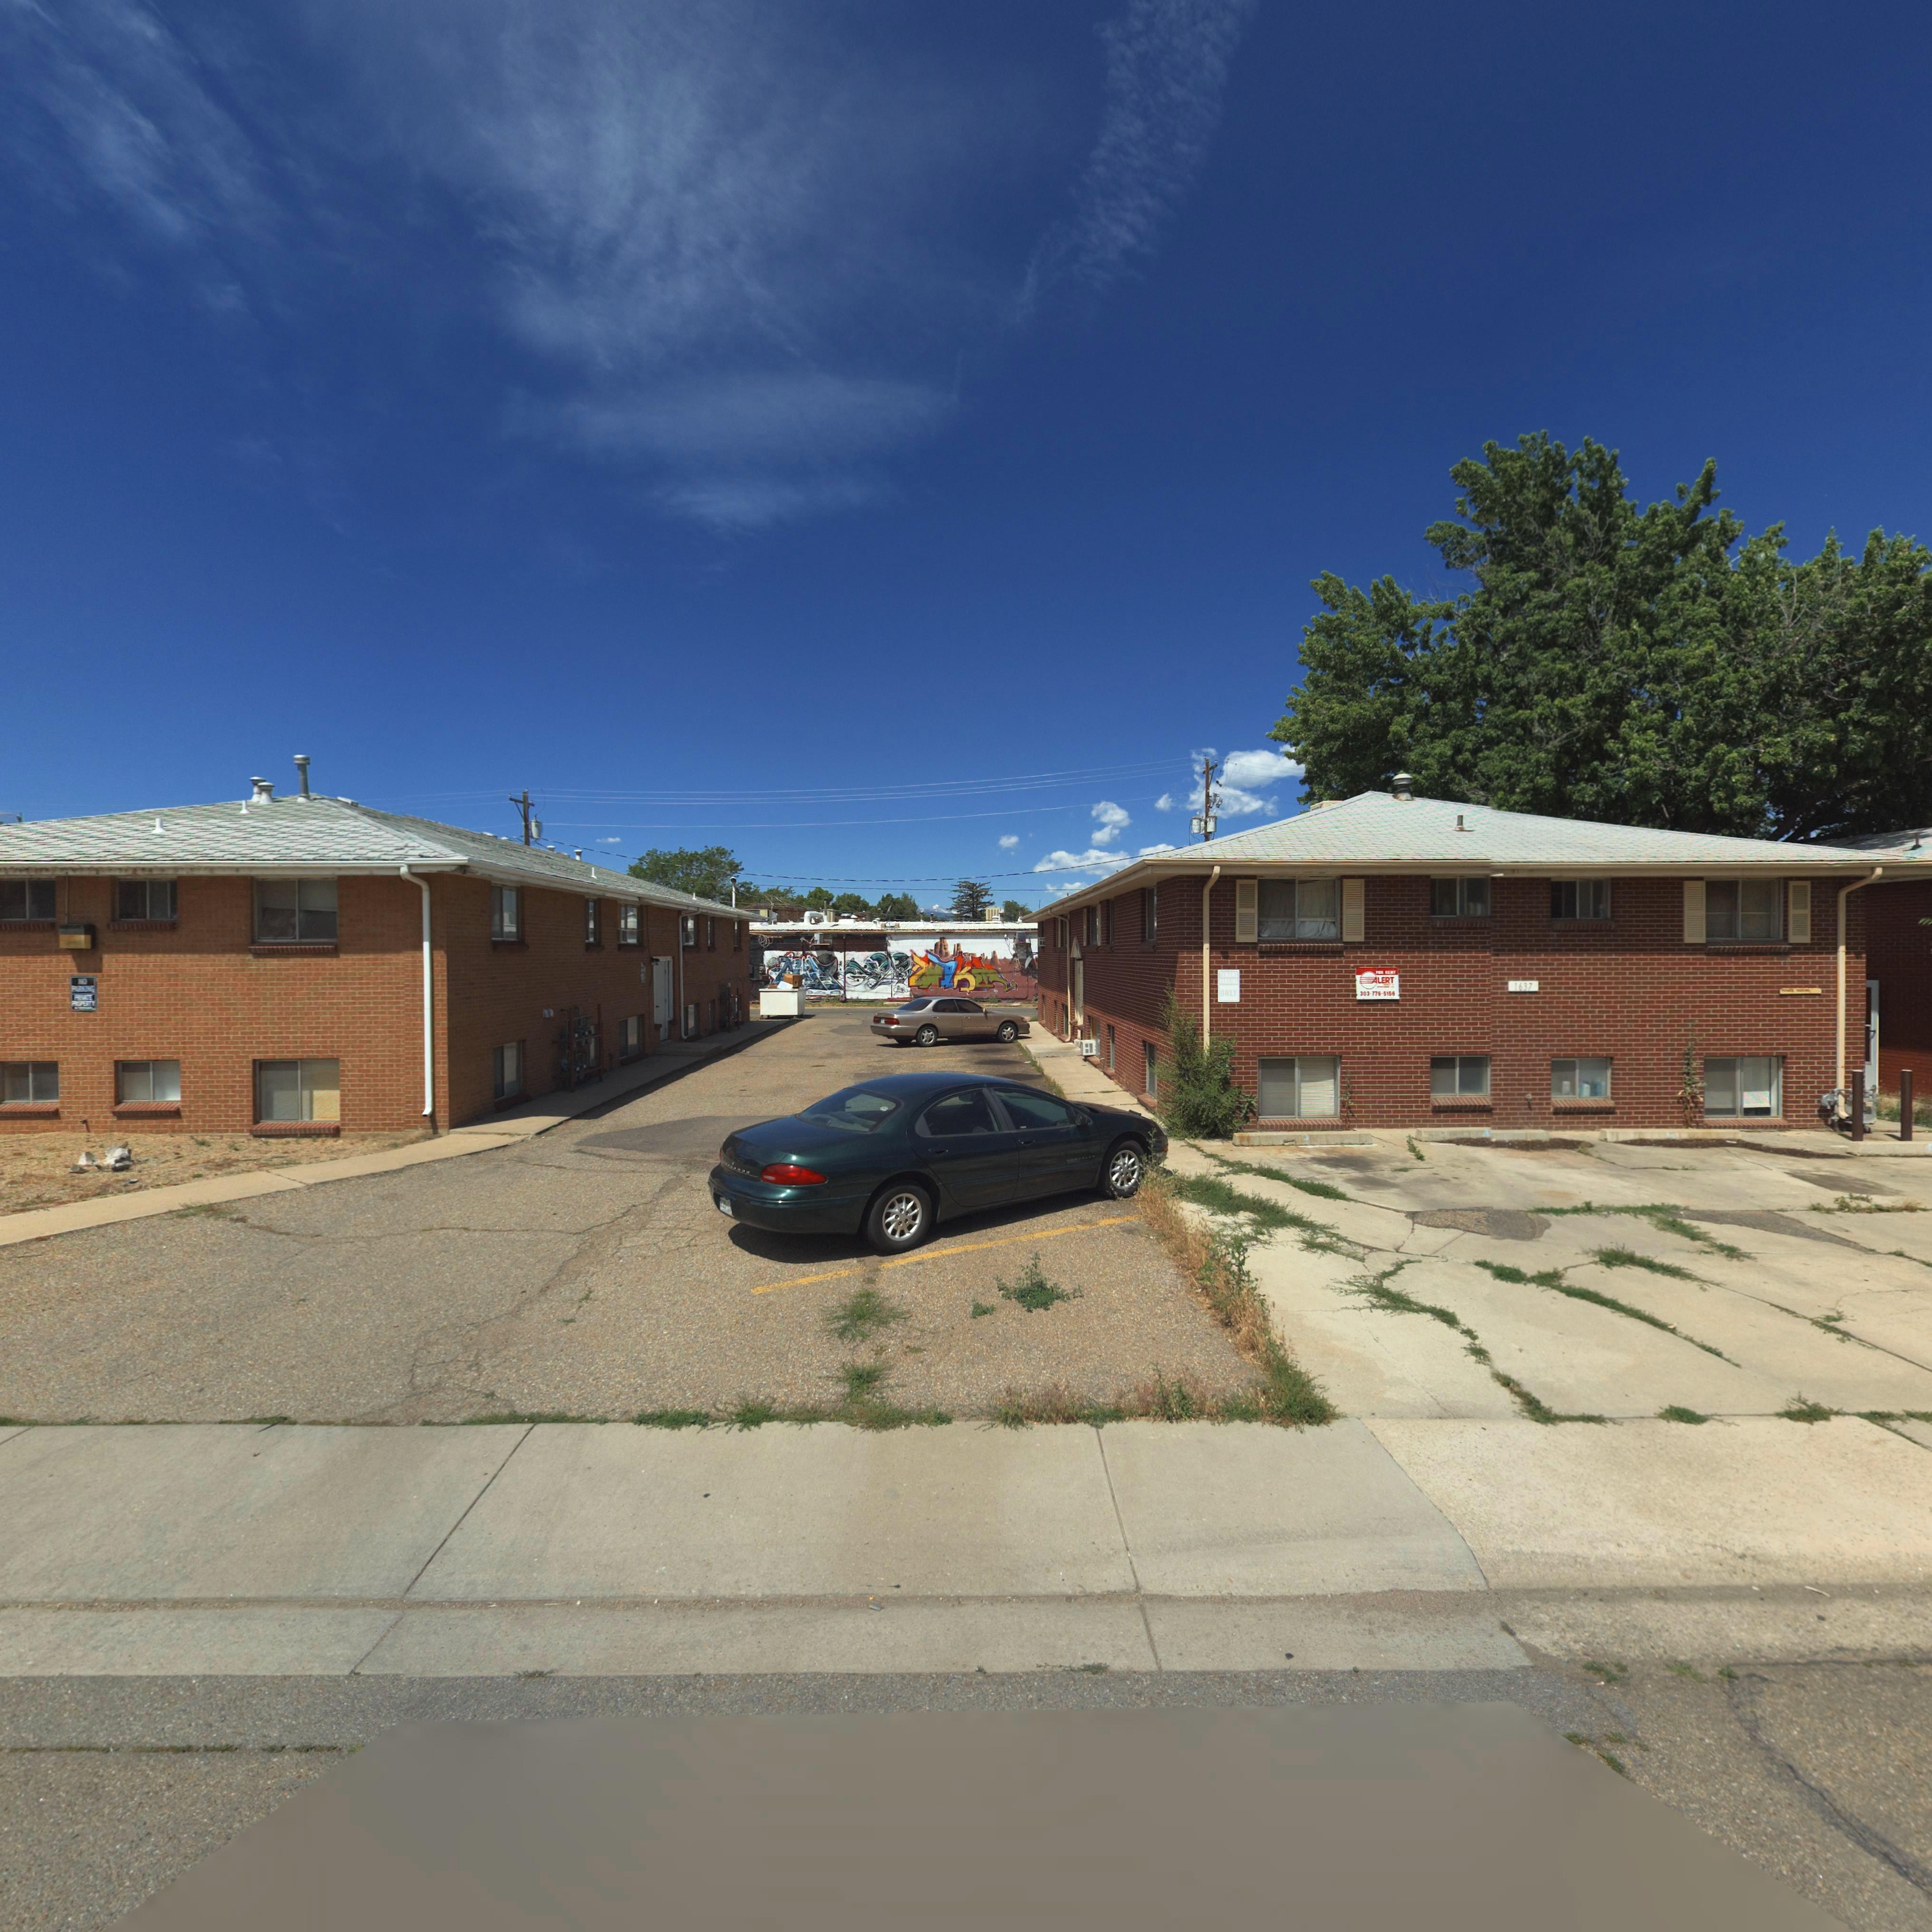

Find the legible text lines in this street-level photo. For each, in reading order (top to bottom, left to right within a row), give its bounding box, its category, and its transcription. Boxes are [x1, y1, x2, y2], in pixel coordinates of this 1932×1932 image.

[1514, 982, 1533, 991] StreetNumber: 1637